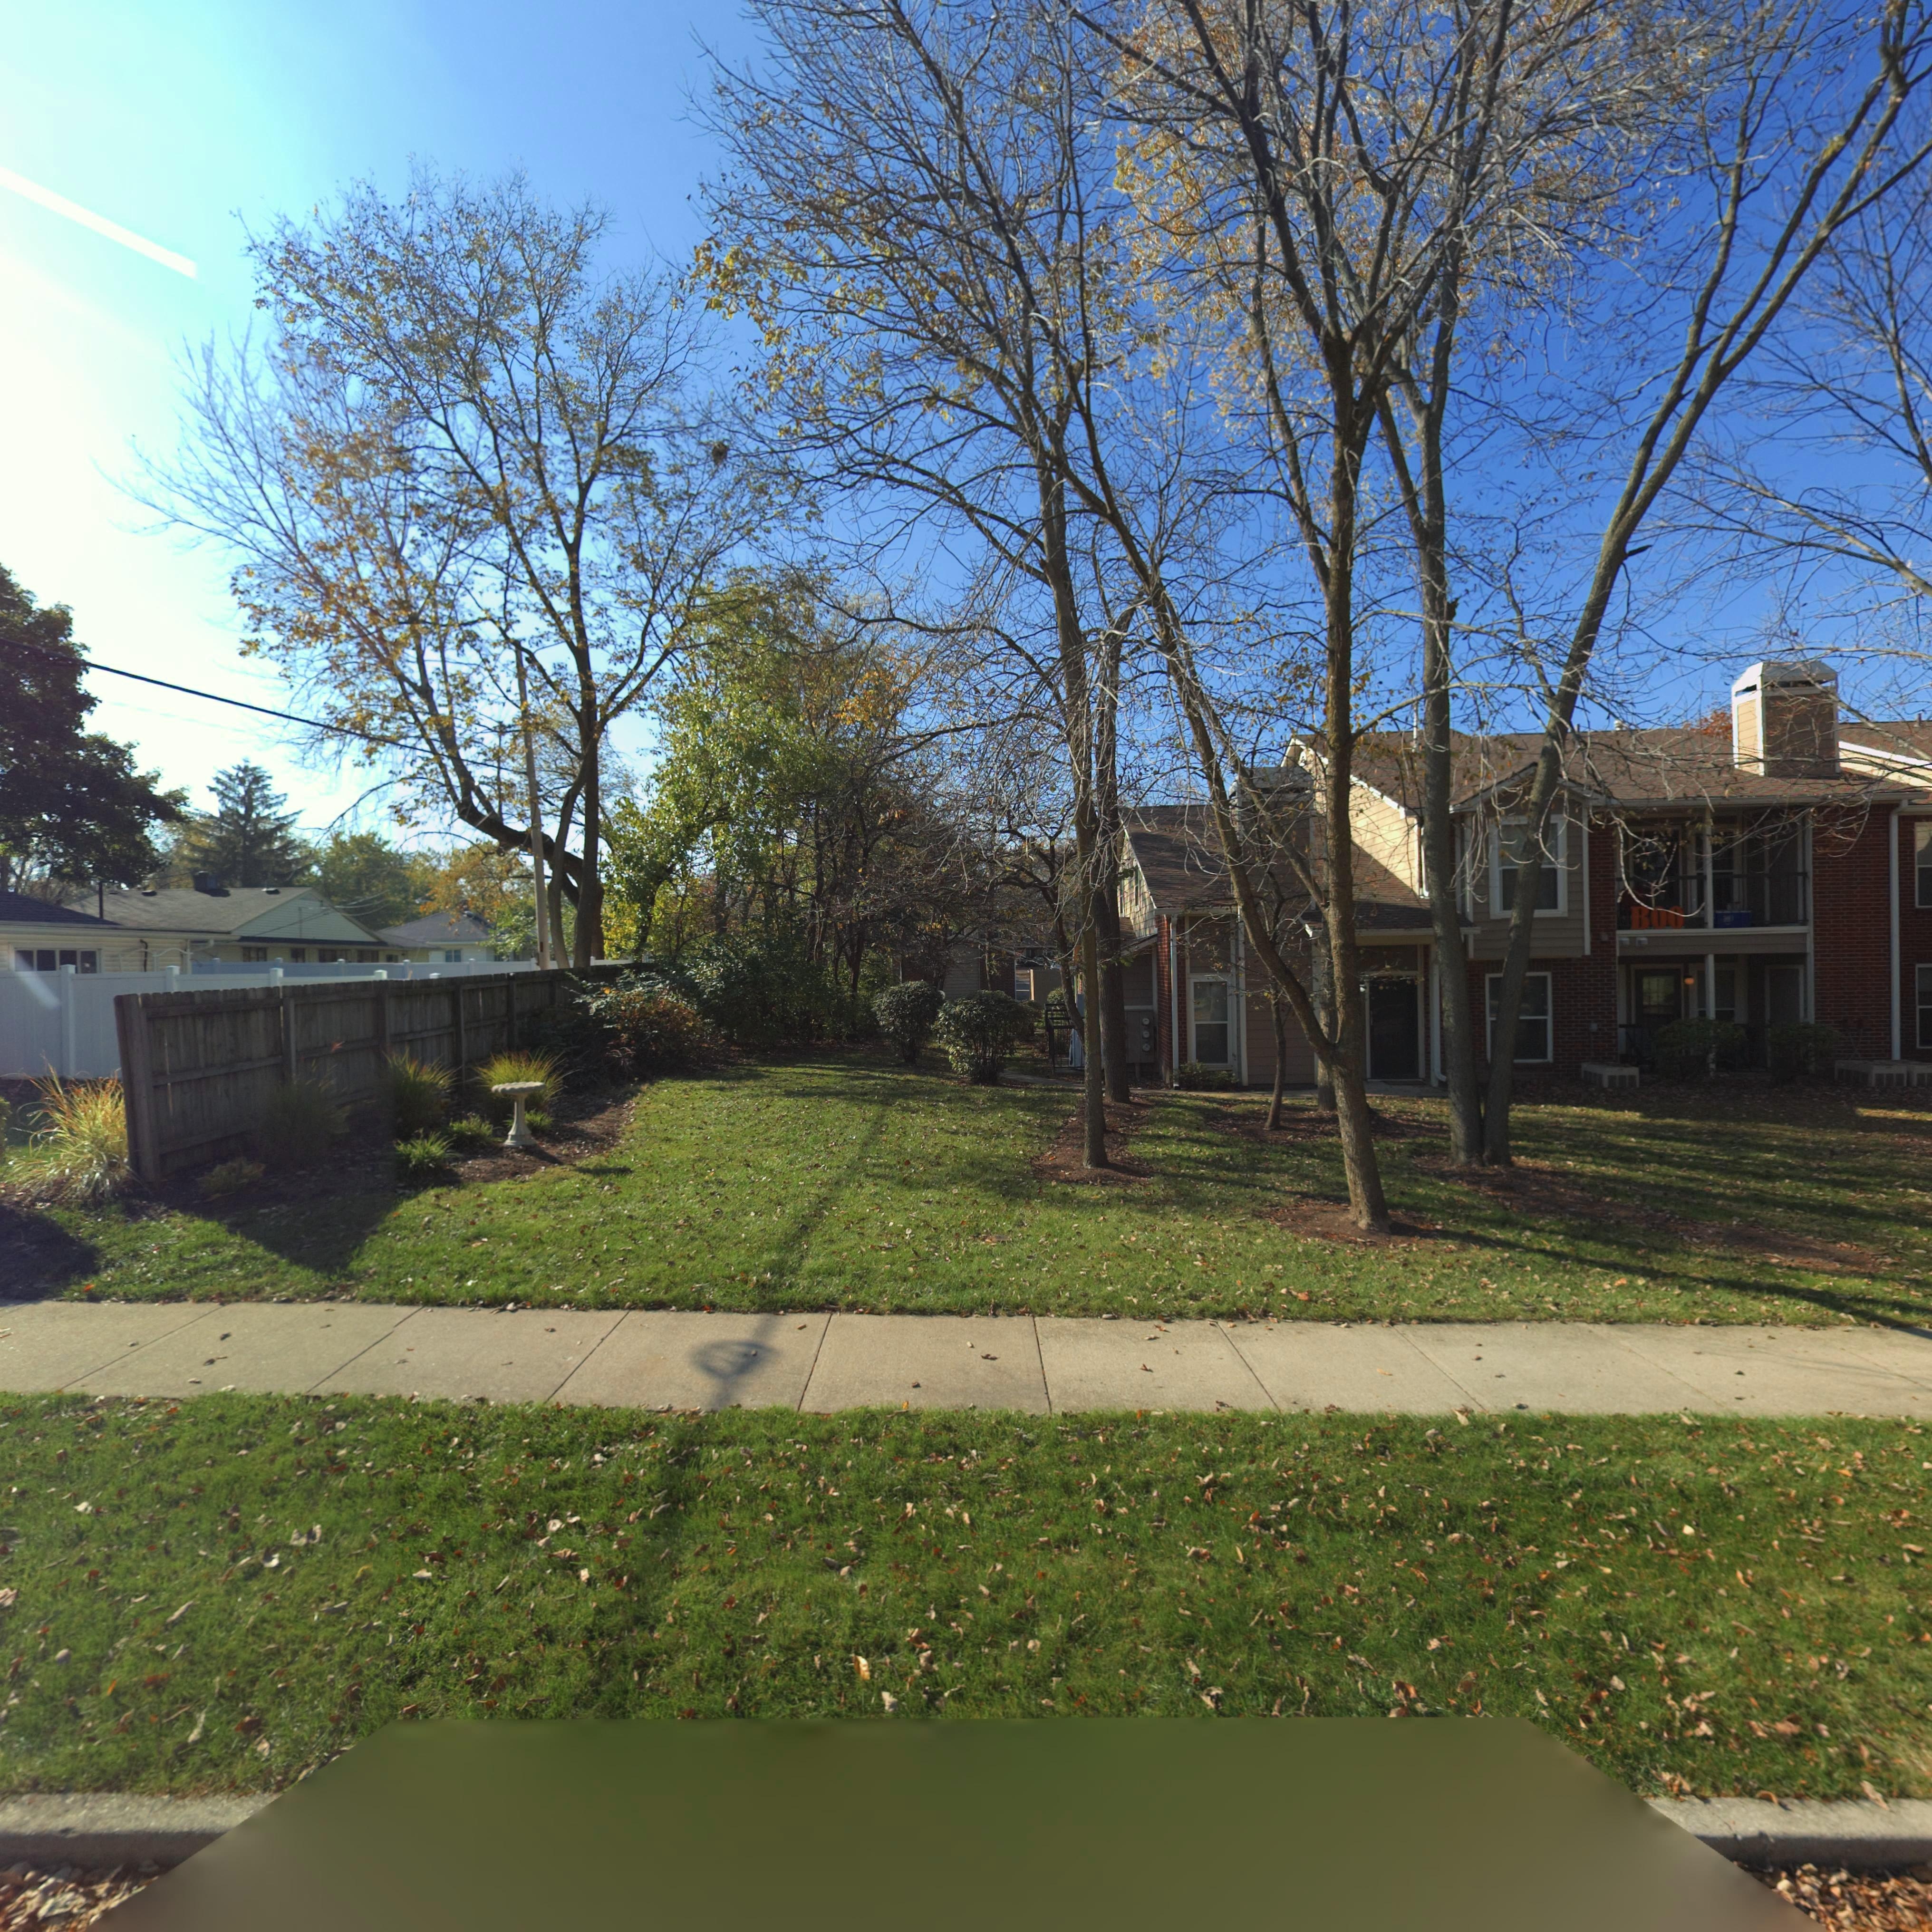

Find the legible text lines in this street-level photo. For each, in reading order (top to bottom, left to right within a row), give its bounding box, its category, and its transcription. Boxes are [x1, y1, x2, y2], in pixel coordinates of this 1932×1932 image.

[1629, 905, 1685, 930] None: BOO